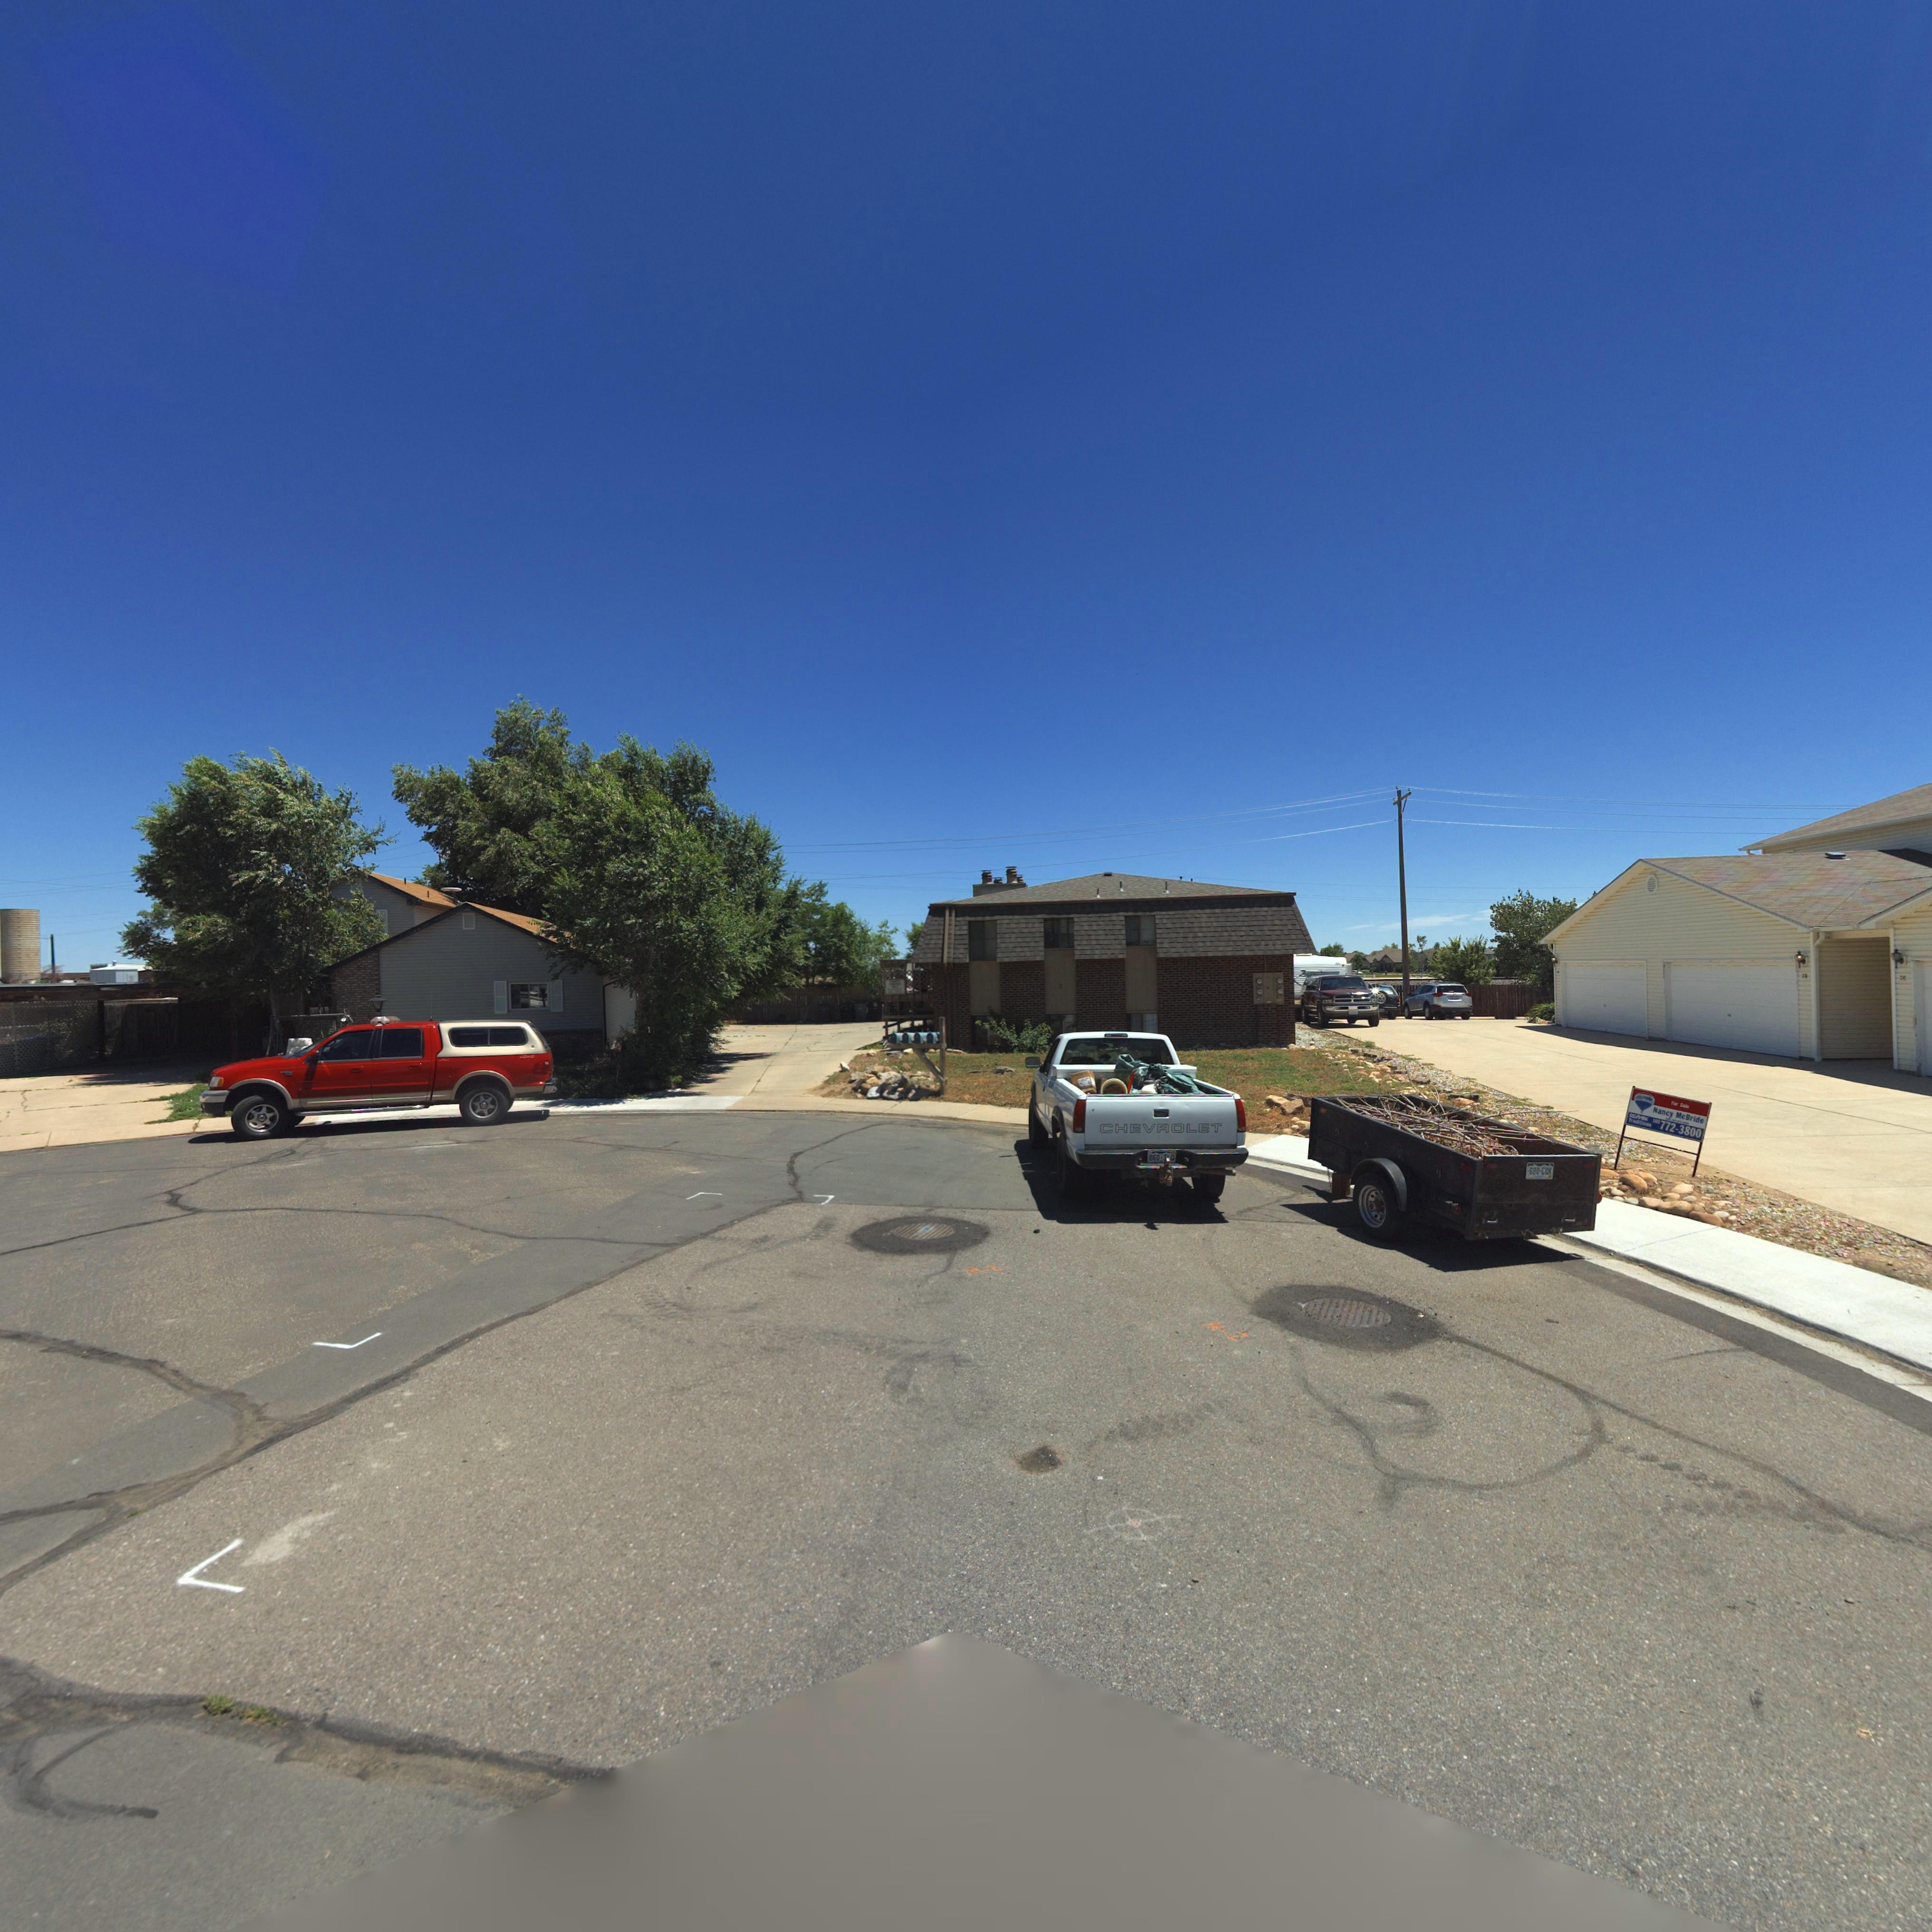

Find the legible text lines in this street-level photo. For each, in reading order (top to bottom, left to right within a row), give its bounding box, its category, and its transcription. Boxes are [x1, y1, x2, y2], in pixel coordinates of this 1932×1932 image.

[1801, 973, 1808, 978] StreetNumber: 1*
[1898, 975, 1907, 981] StreetNumber: 2*
[1057, 983, 1063, 989] StreetNumber: 2